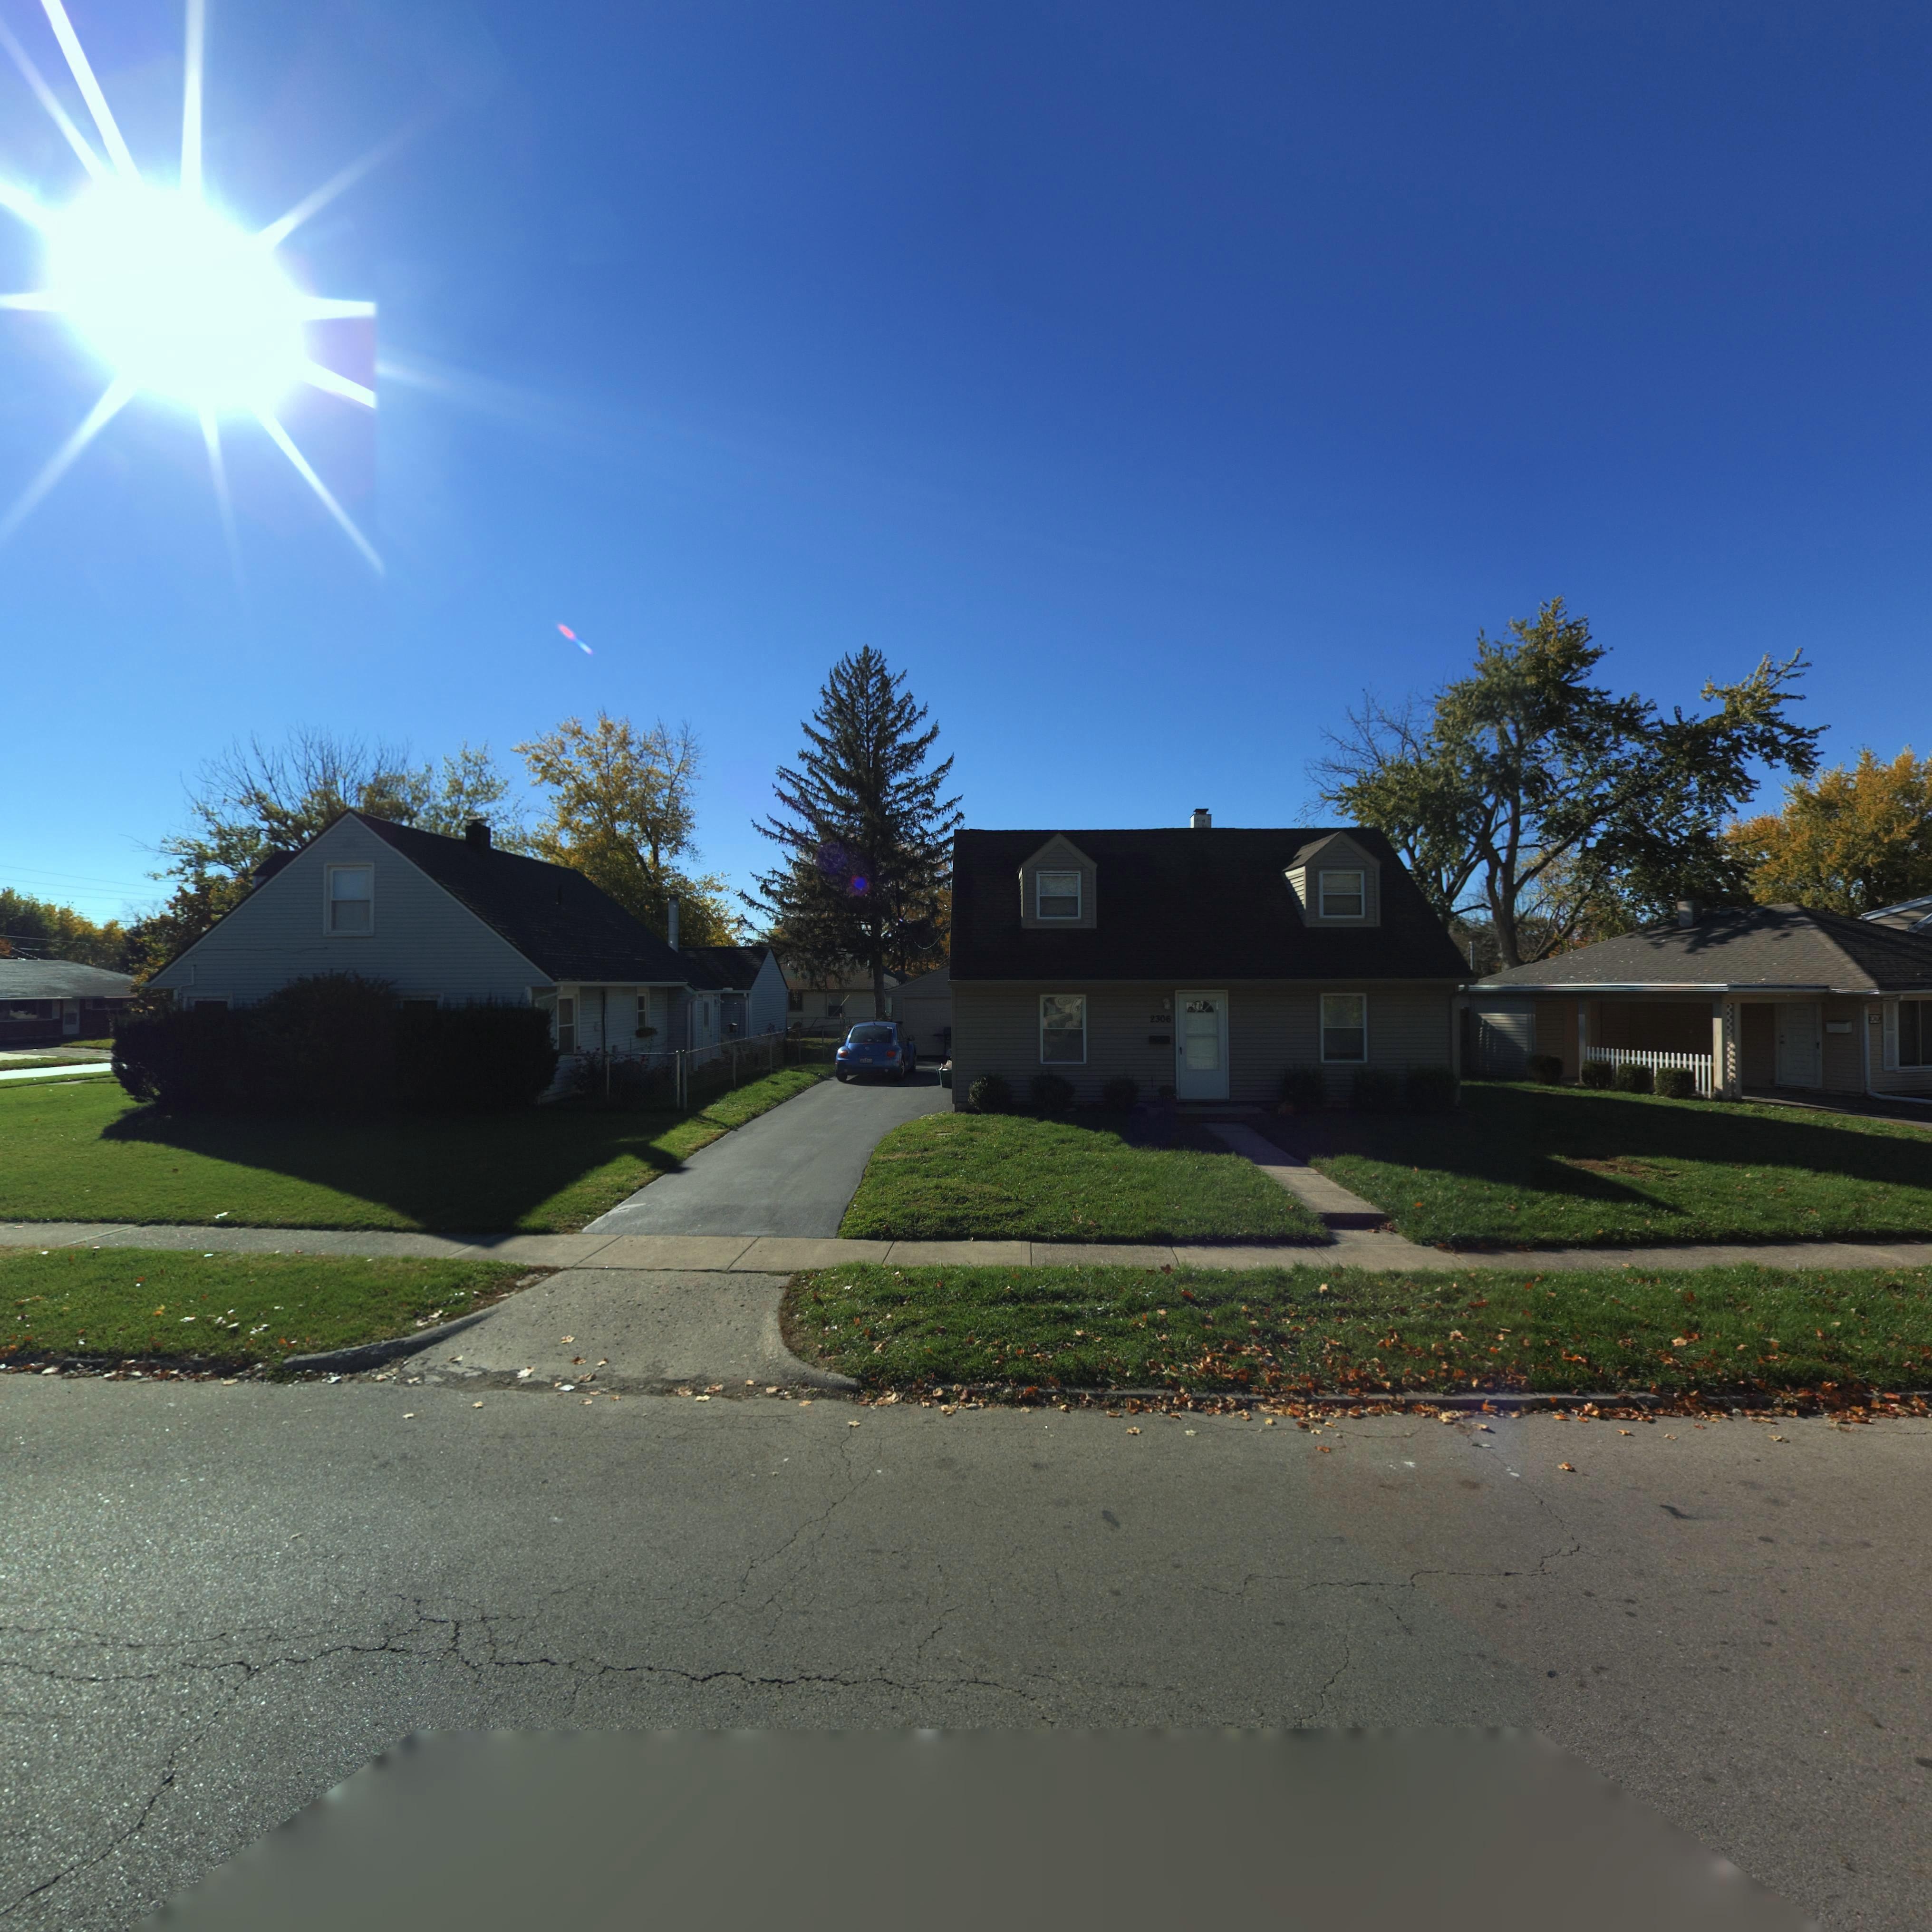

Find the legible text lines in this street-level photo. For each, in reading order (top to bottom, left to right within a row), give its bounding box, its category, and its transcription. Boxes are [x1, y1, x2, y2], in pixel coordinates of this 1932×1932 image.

[1150, 1015, 1171, 1023] StreetNumber: 2306